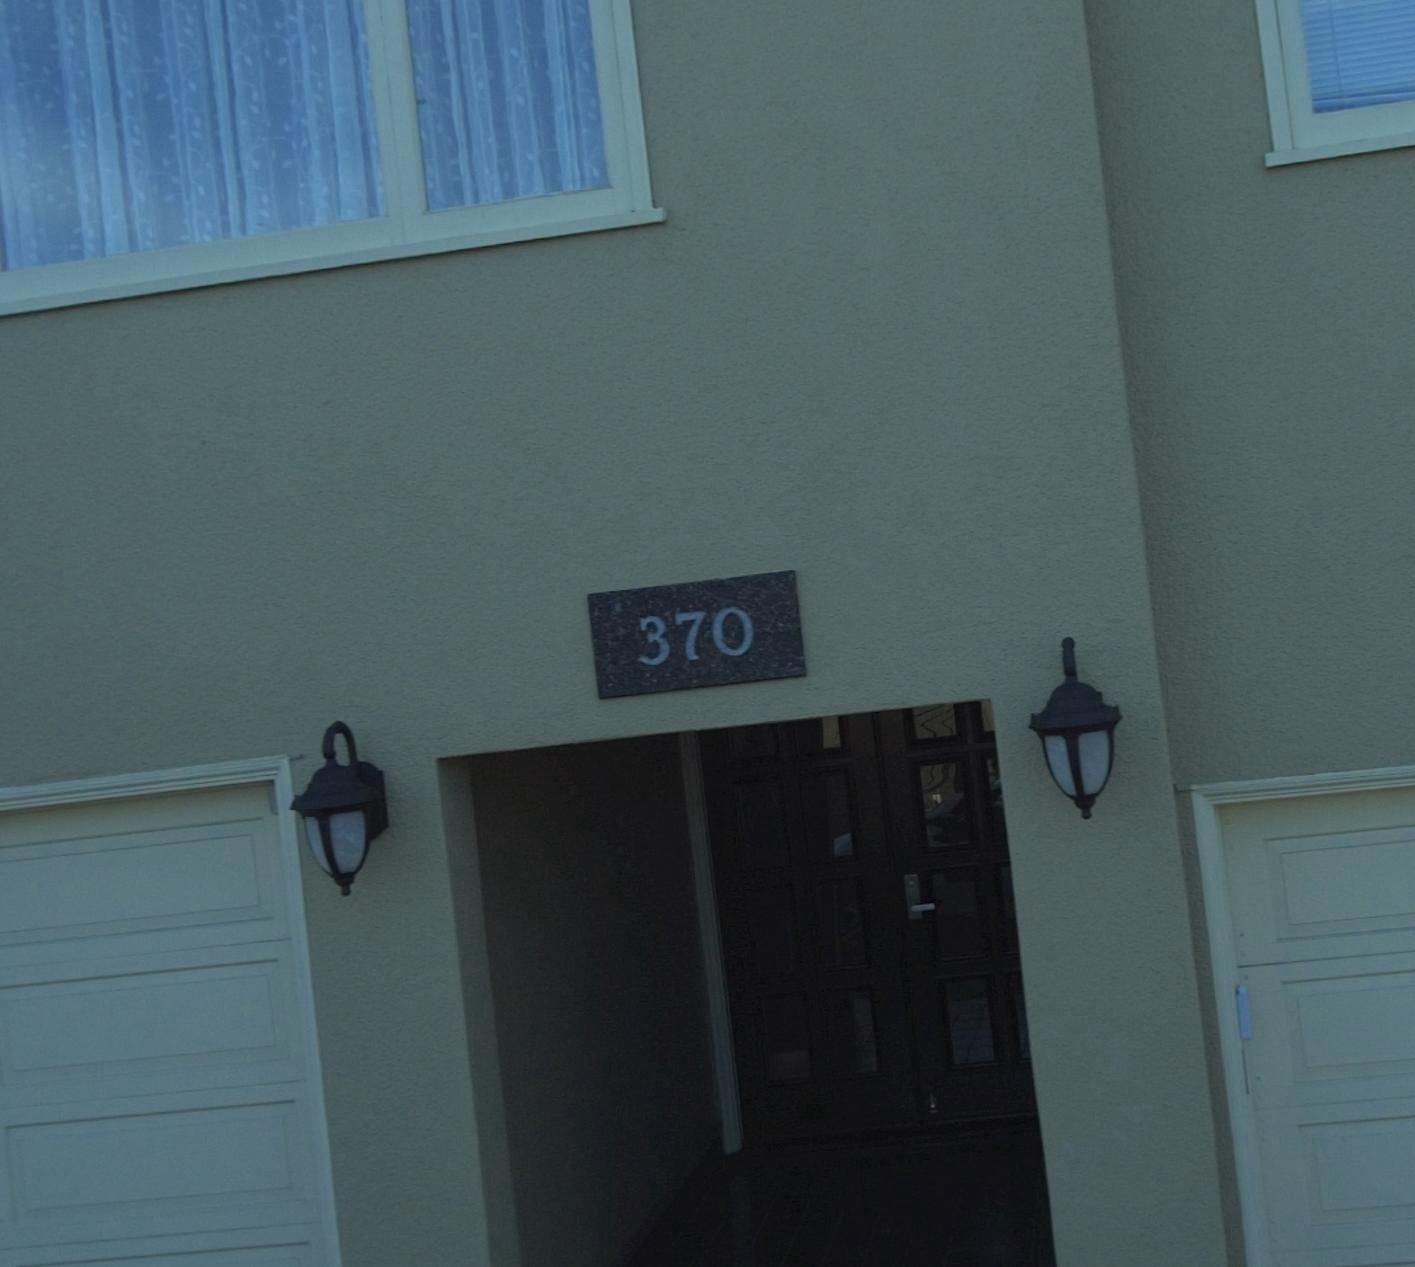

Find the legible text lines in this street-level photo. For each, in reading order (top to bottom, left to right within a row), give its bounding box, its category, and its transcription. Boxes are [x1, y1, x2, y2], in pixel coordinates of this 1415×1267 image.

[637, 603, 755, 670] StreetNumber: 370